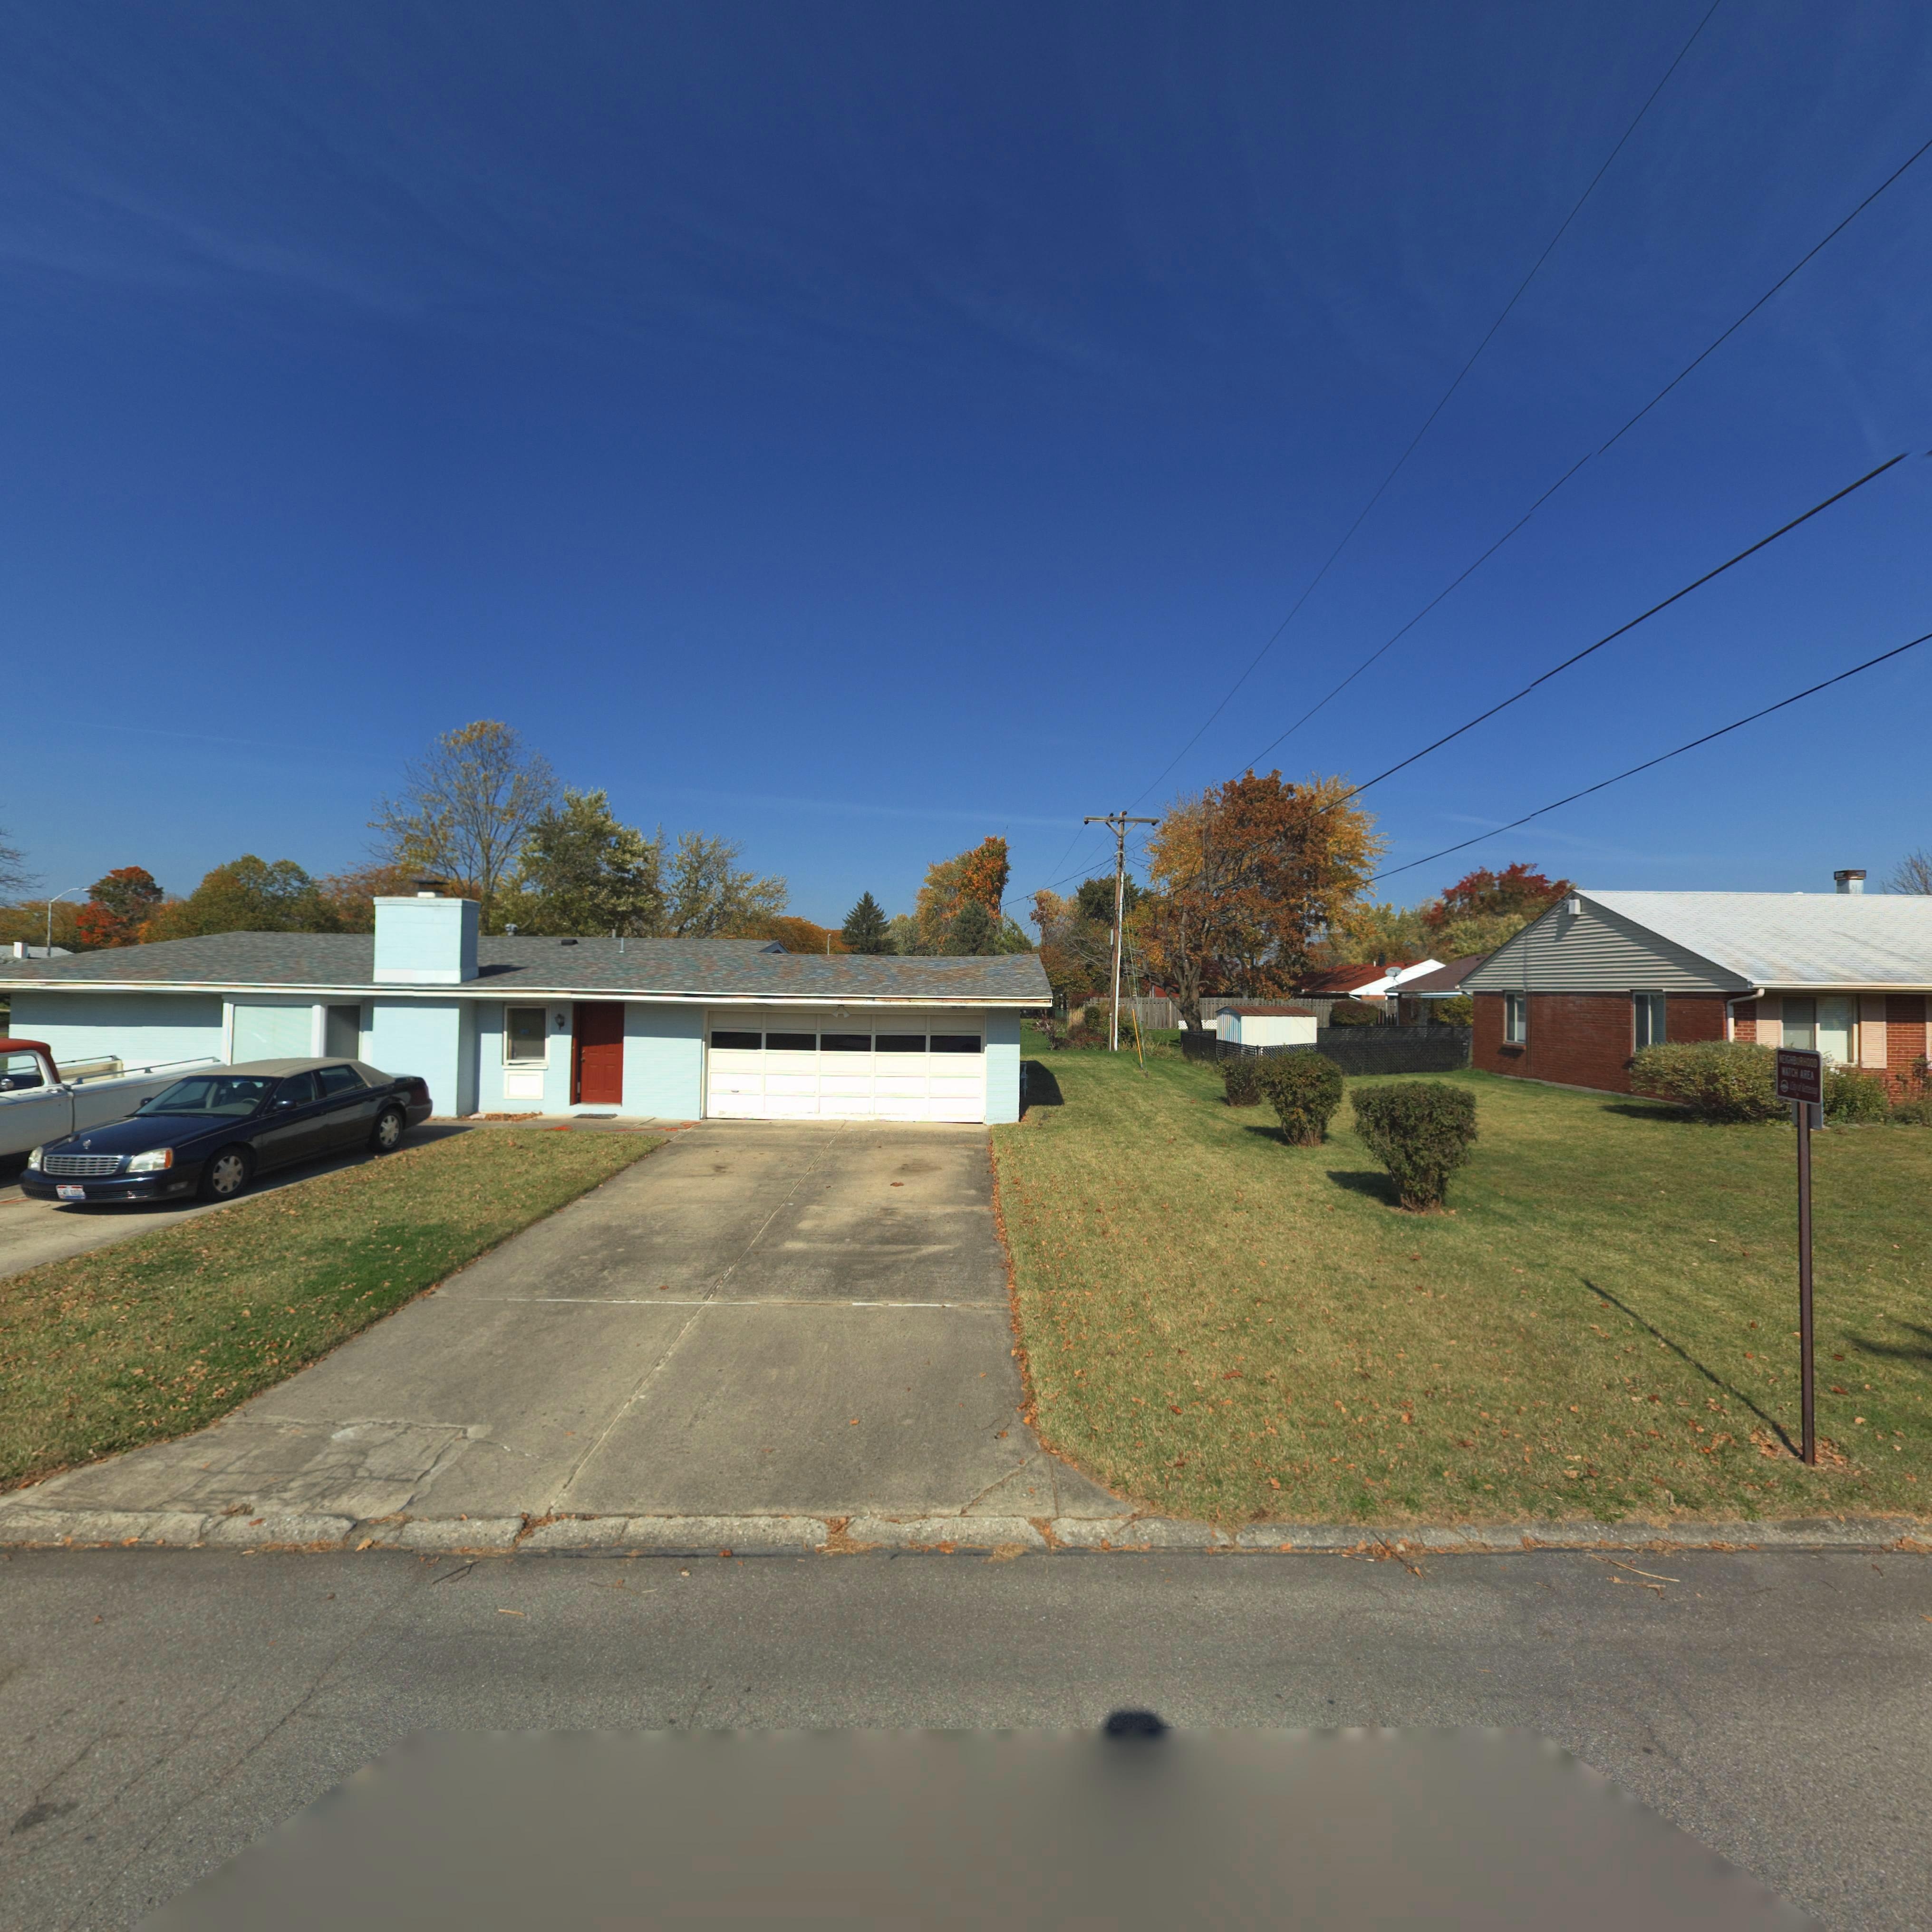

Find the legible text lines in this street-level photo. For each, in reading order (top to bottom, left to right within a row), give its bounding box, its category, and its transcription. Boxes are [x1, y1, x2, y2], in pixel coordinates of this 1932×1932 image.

[1777, 1052, 1819, 1070] None: NEIGHBORHOOD
[1779, 1064, 1816, 1082] None: WATCH AREA